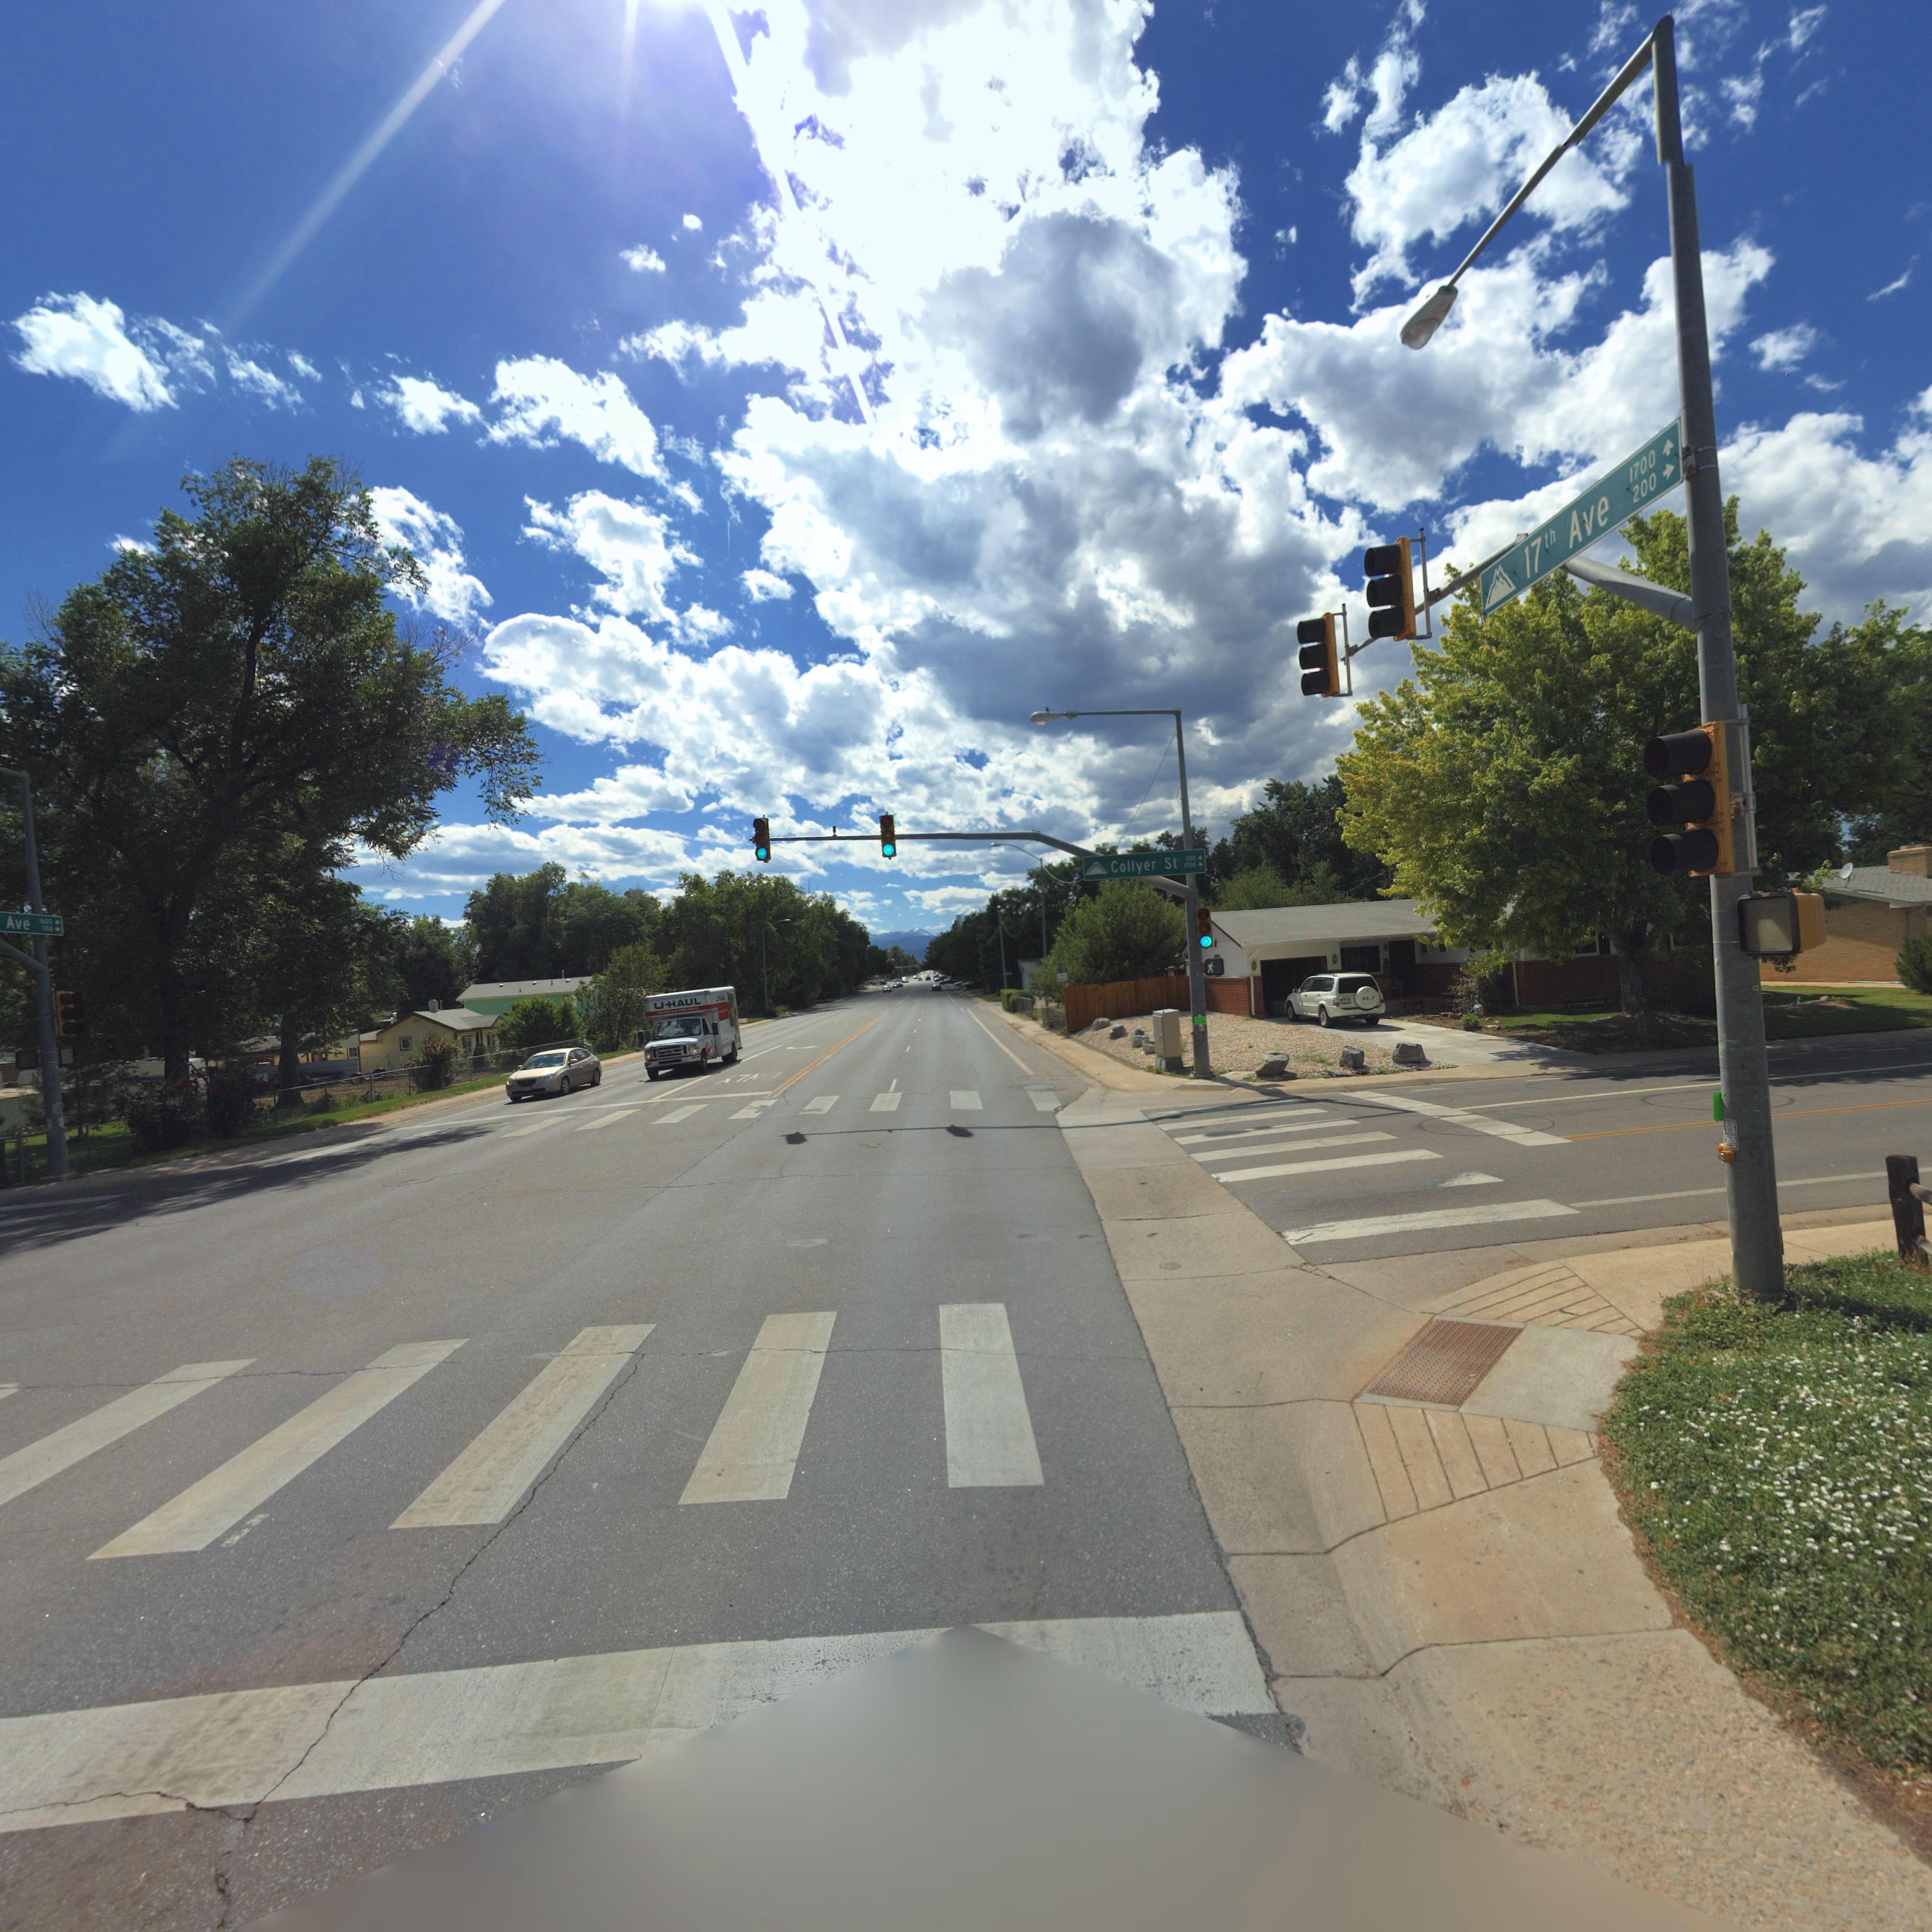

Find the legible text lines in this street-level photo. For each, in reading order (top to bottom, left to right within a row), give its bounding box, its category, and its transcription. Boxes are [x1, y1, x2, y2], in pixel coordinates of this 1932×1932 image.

[1629, 449, 1656, 483] StreetNumberRange: 1700
[1633, 463, 1675, 504] StreetNumberRange: 200->
[1524, 495, 1609, 579] StreetName: 17th Ave
[1111, 857, 1178, 874] StreetName: Collyer St
[1186, 855, 1196, 861] StreetNumberRange: 300
[1183, 861, 1204, 868] StreetNumberRange: 1700->
[6, 915, 30, 930] StreetName: Ave
[39, 918, 53, 925] StreetNumberRange: 1*00
[41, 925, 61, 932] StreetNumberRange: 300*